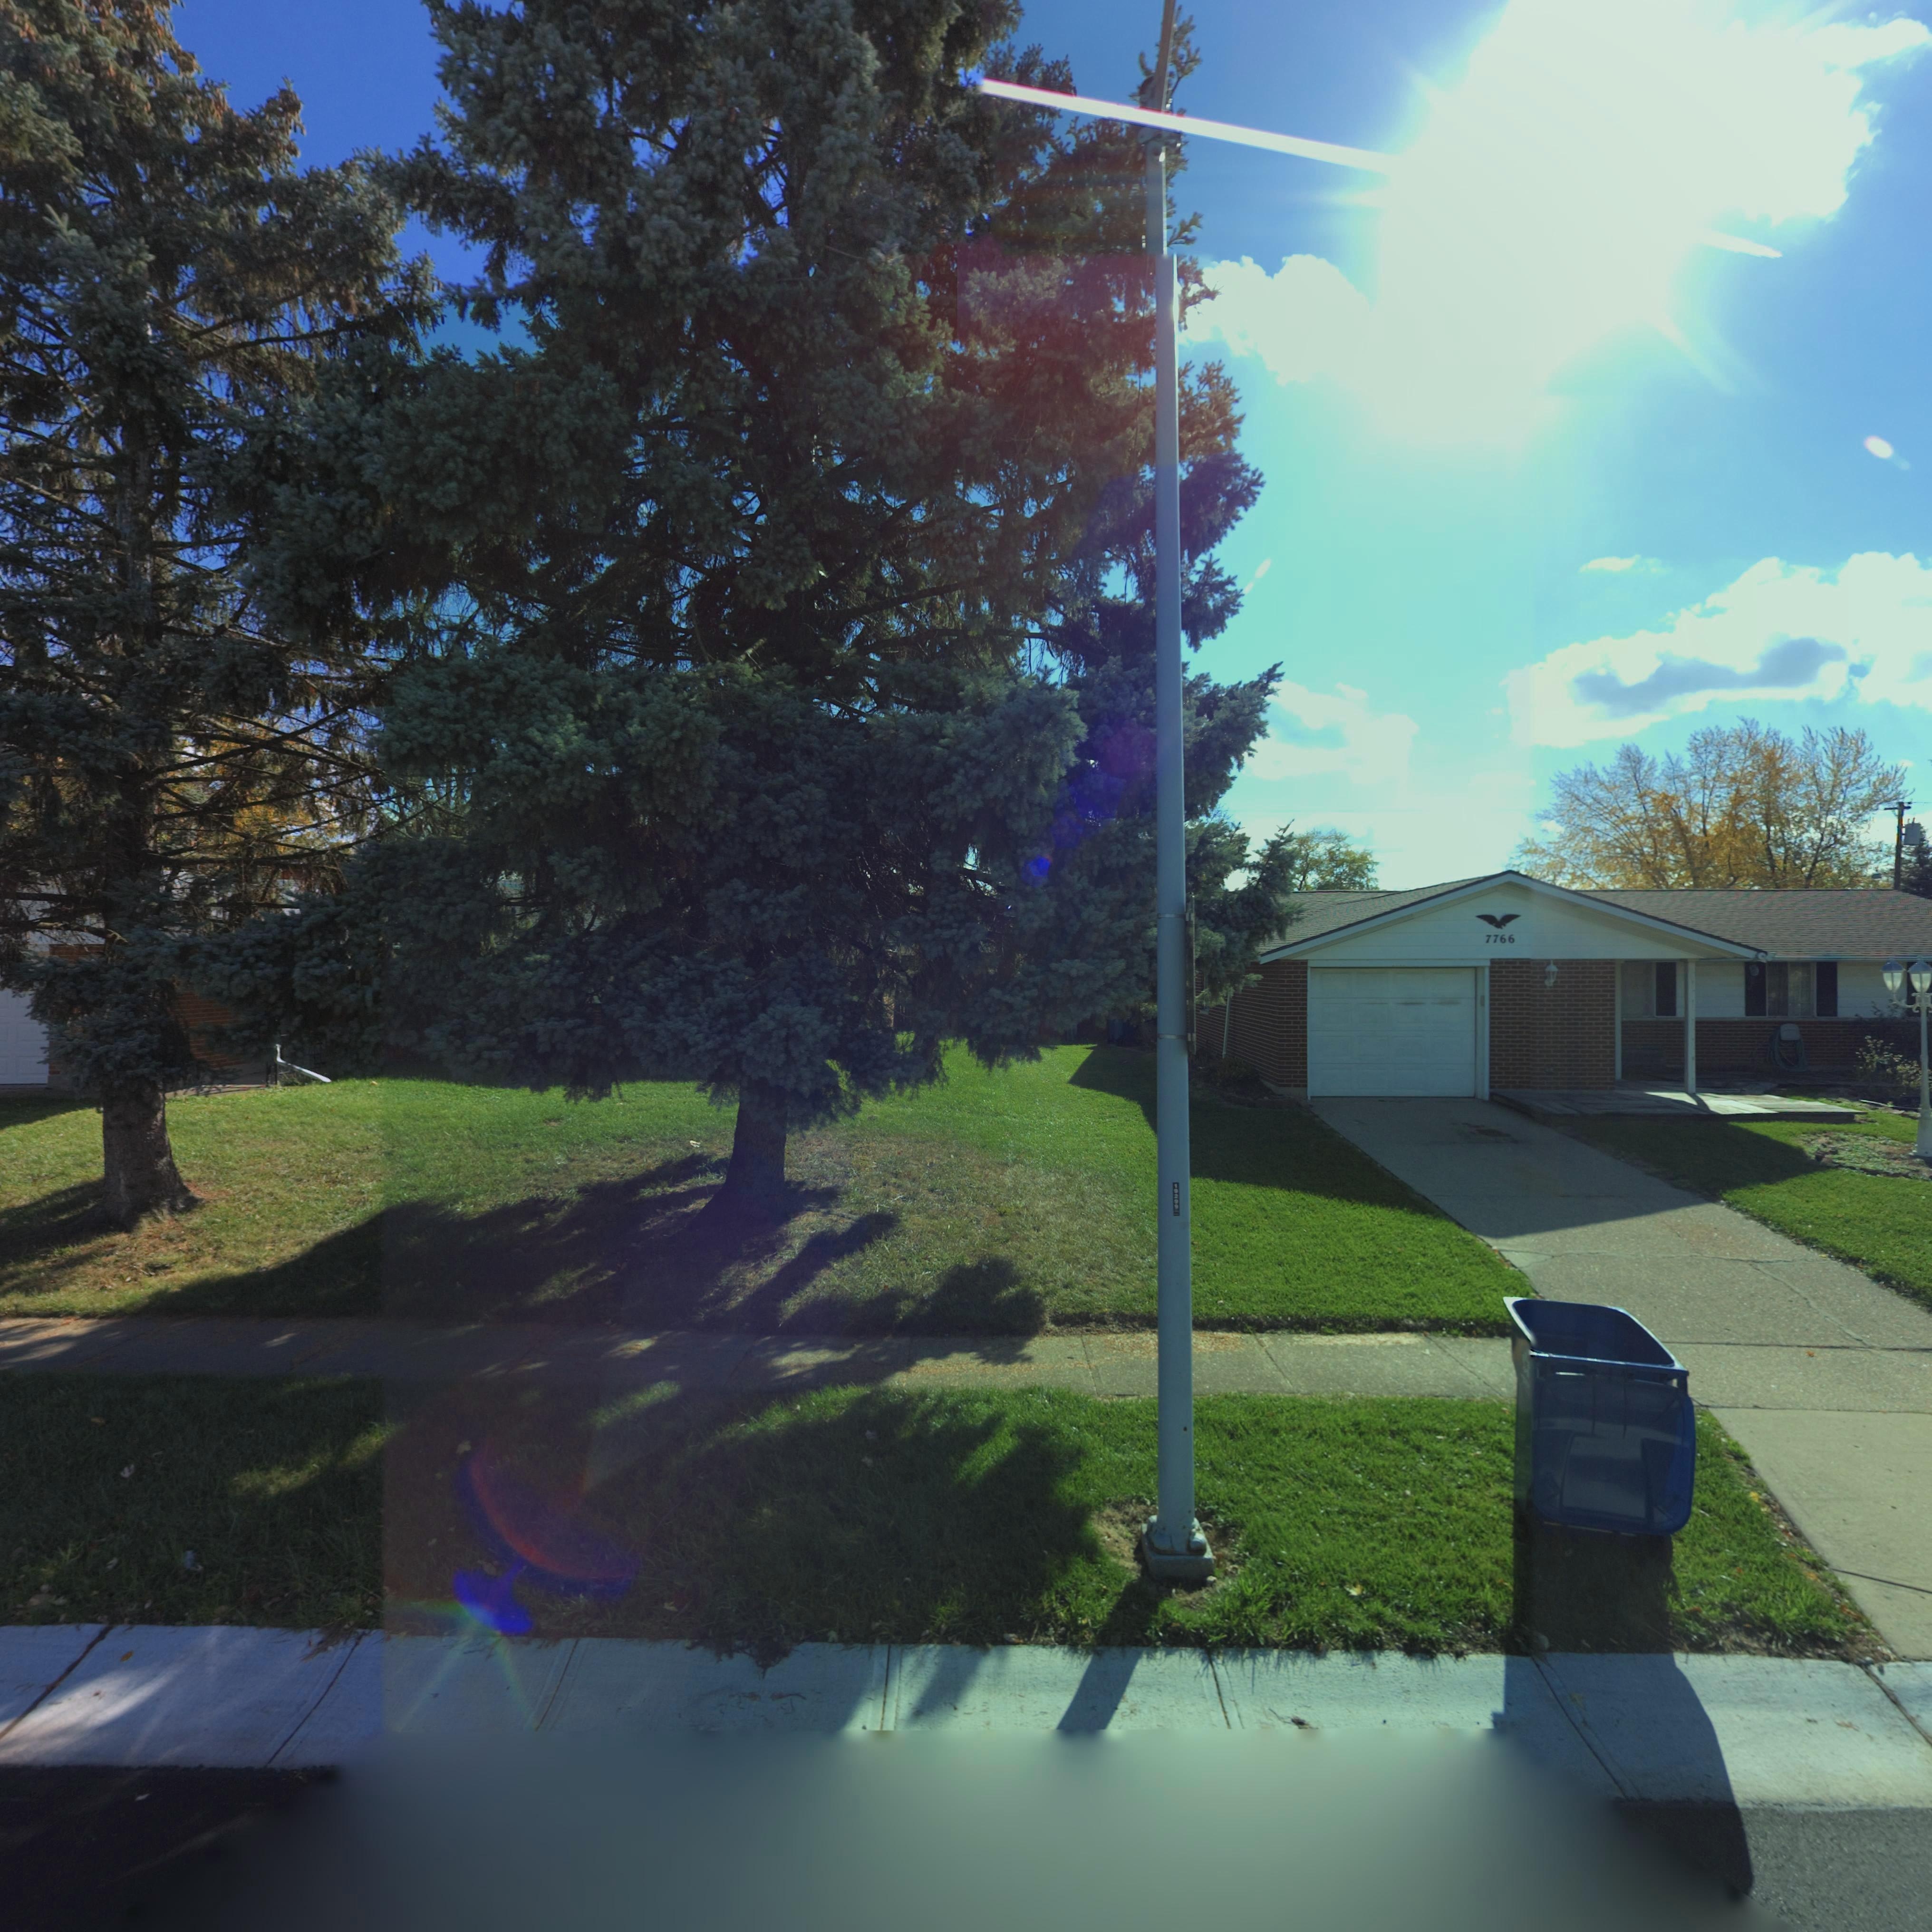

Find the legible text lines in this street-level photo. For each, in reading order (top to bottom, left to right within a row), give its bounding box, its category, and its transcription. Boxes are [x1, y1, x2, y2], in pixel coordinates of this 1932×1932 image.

[1485, 934, 1515, 944] StreetNumber: 7766